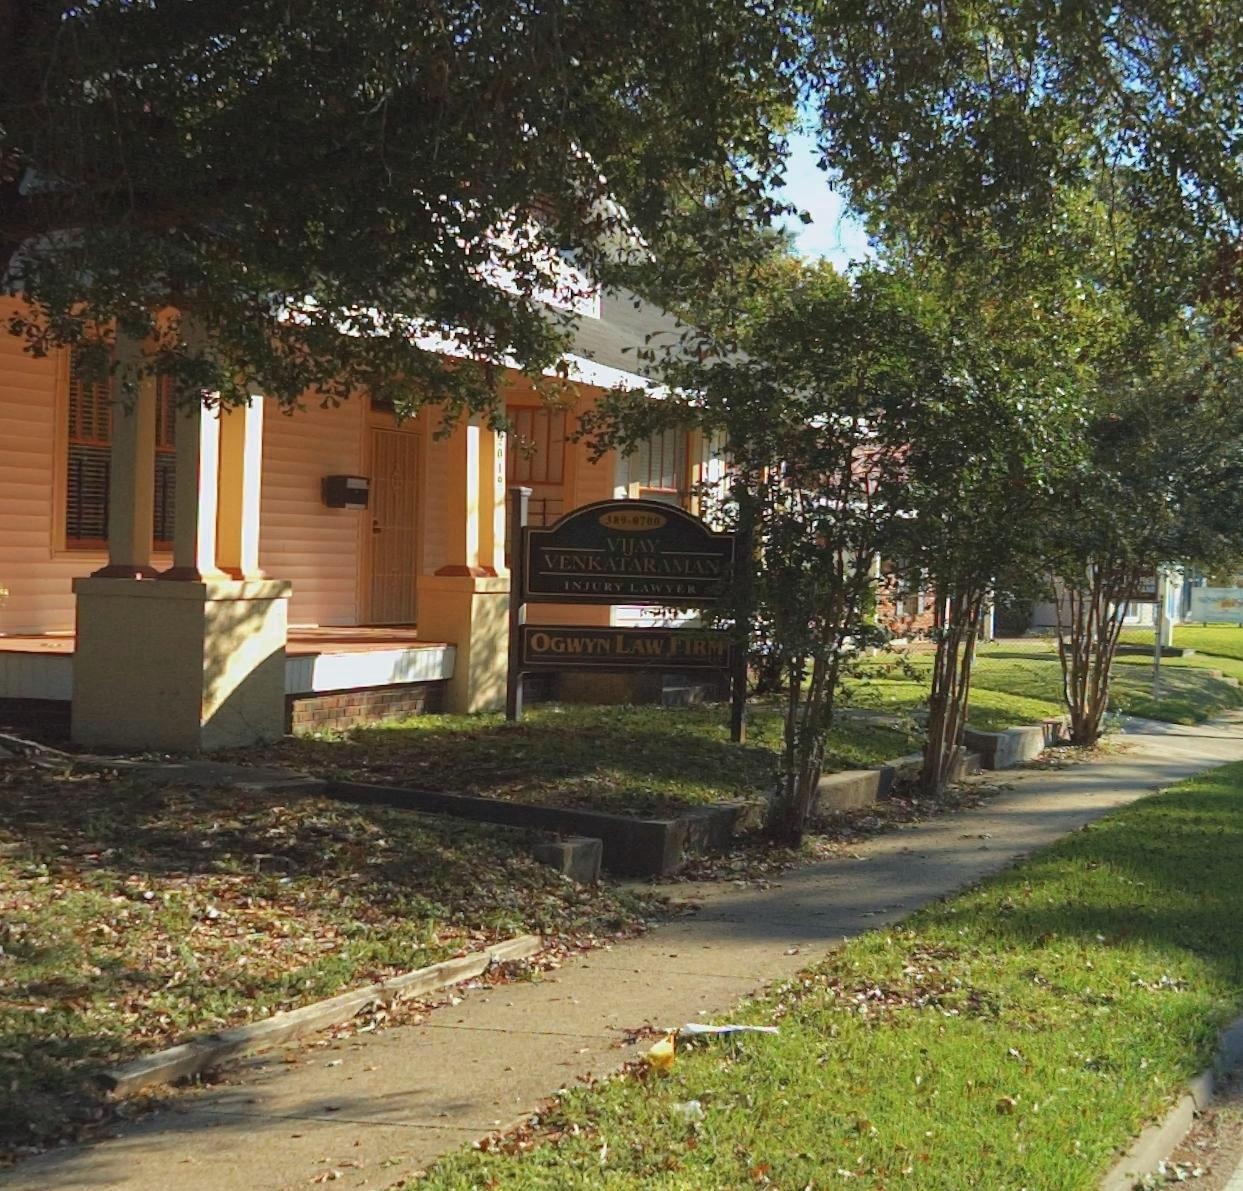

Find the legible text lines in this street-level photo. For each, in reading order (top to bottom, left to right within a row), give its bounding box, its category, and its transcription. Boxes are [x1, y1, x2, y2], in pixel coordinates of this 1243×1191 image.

[494, 434, 506, 488] StreetNumber: **10
[603, 513, 663, 528] None: **9-8709
[603, 535, 663, 559] None: VIJAY
[541, 552, 722, 578] None: VENKATARAMAN
[562, 578, 700, 597] None: INJURY LAWYER
[528, 630, 726, 660] BusinessName: OGWYN LAW *IRM